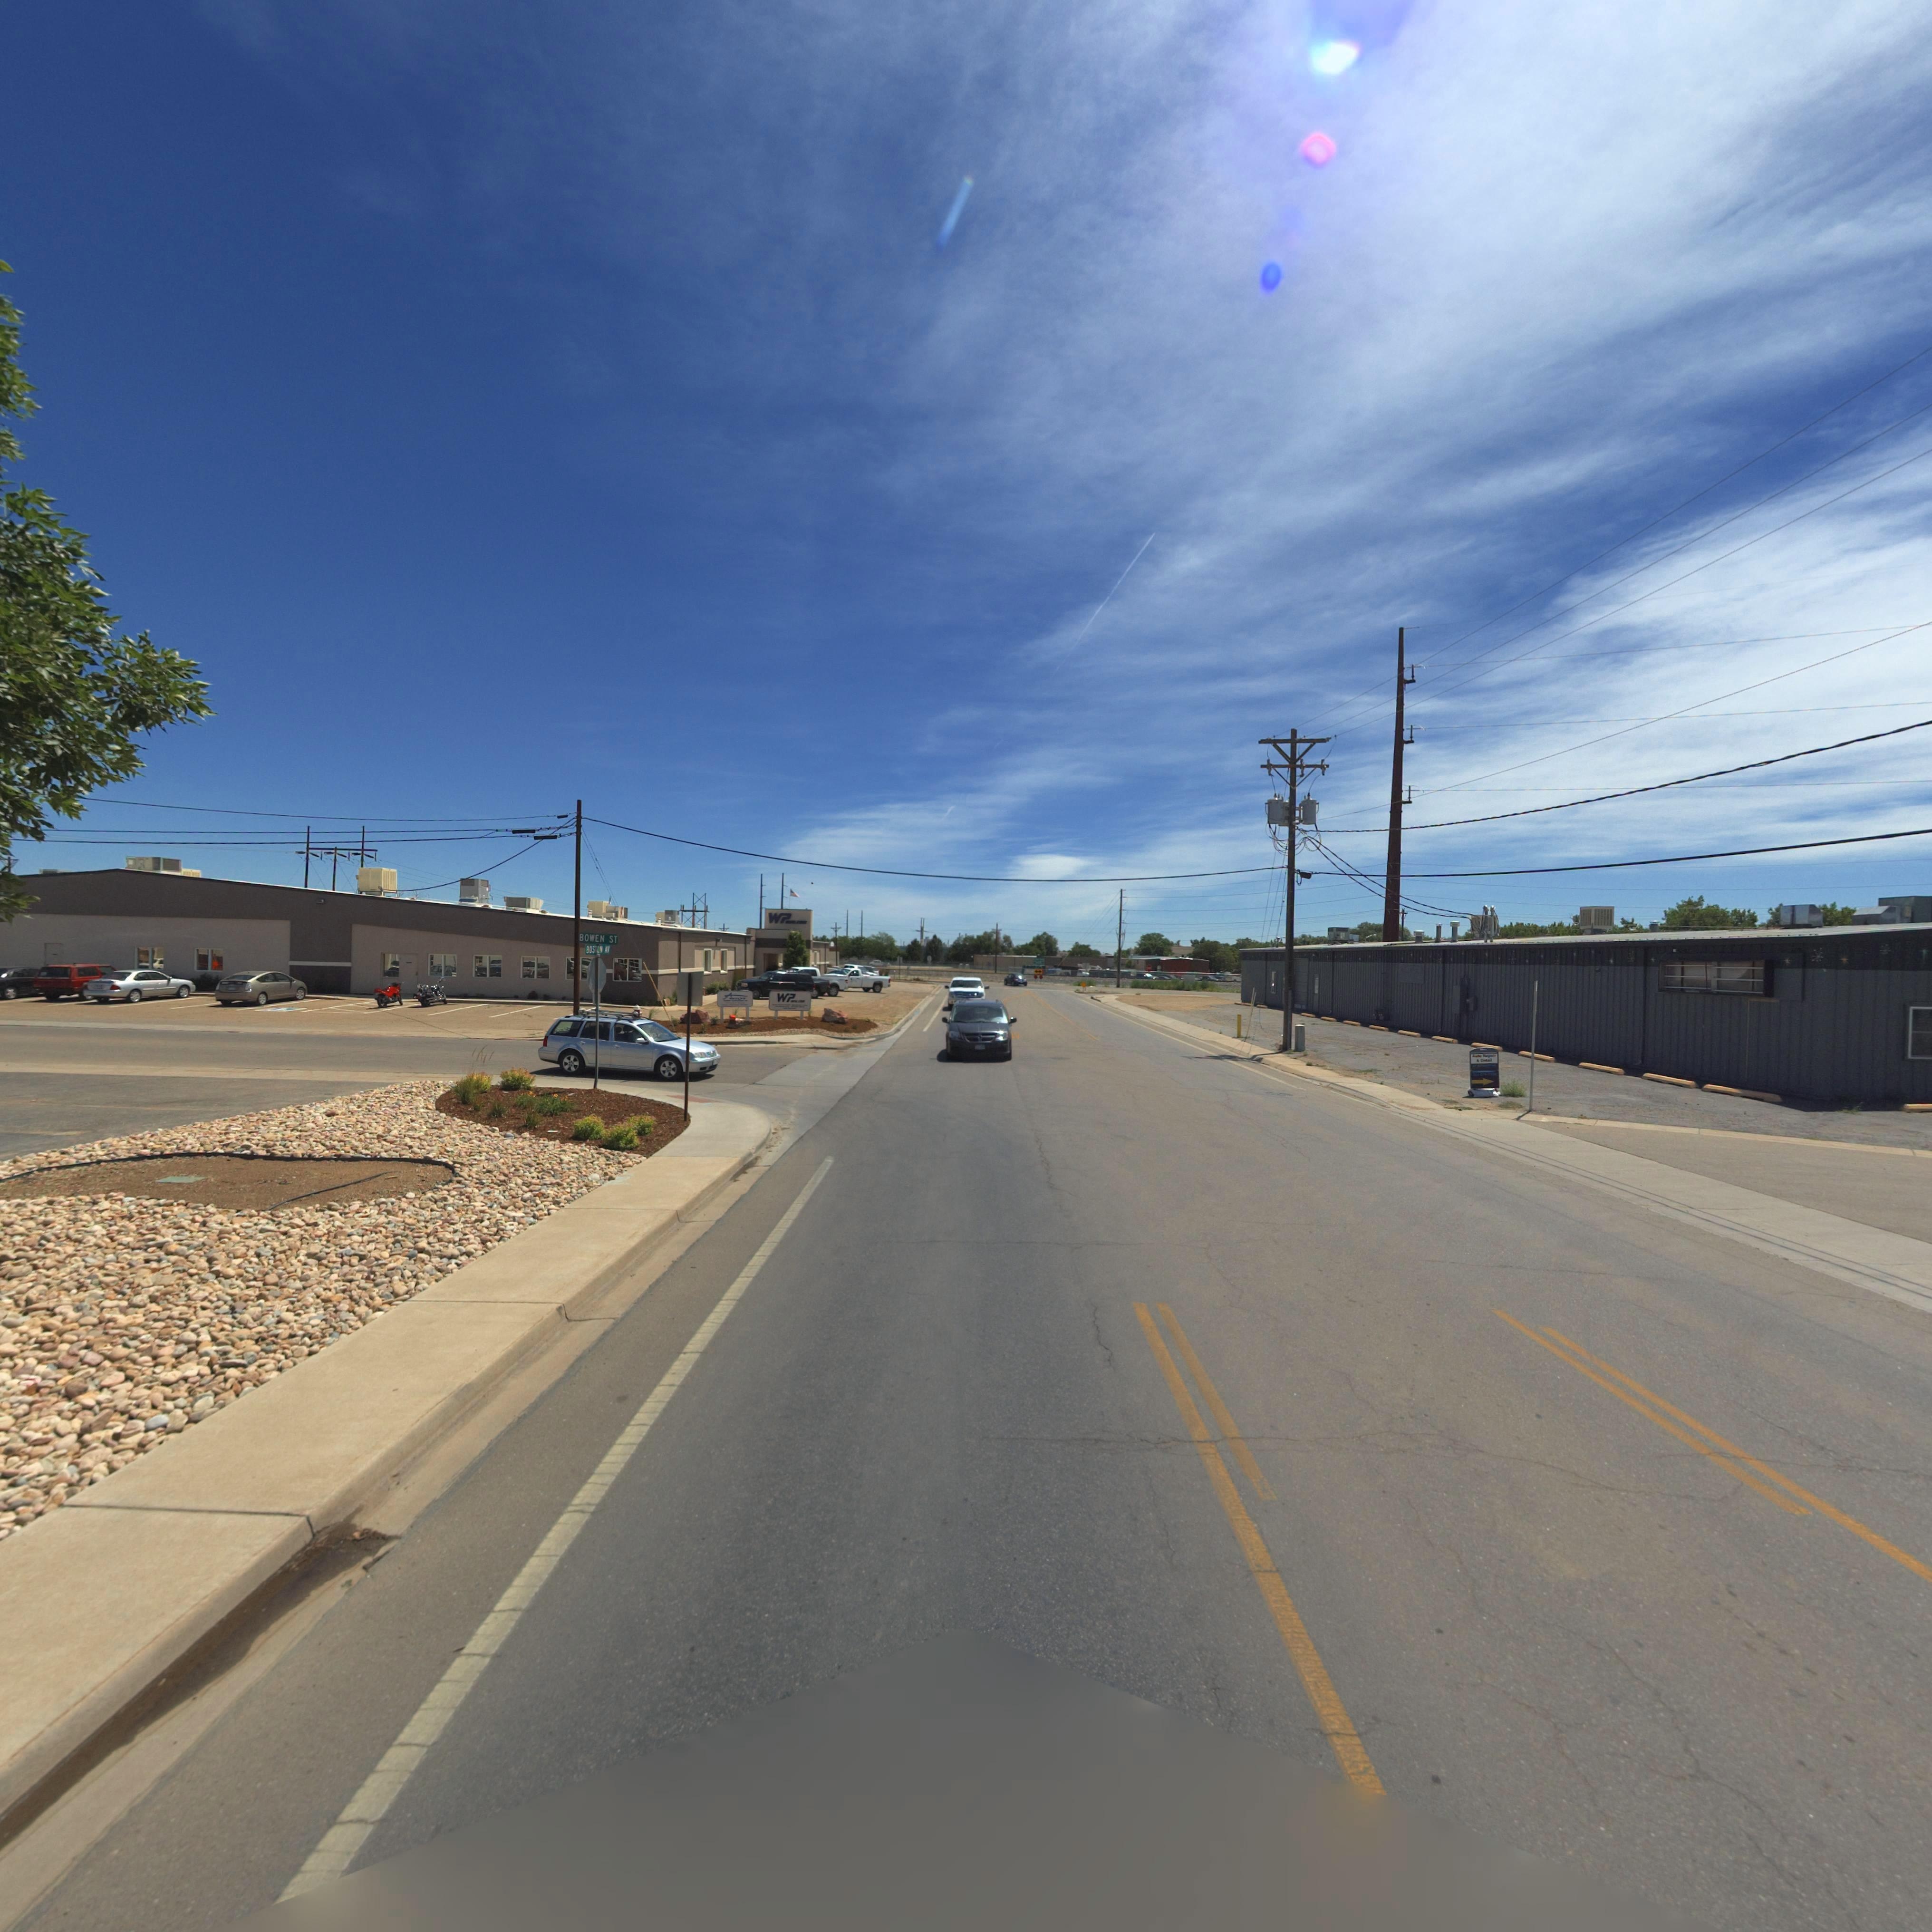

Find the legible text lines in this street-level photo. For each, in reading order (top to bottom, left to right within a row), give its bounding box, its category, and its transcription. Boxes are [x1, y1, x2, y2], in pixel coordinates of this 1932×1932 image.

[768, 912, 792, 924] BusinessName: WP
[579, 933, 618, 944] StreetName: BOWEN ST
[585, 945, 610, 954] StreetName: BOSTON AV
[722, 992, 745, 1000] BusinessName: AVIO*
[777, 993, 796, 1003] BusinessName: WP